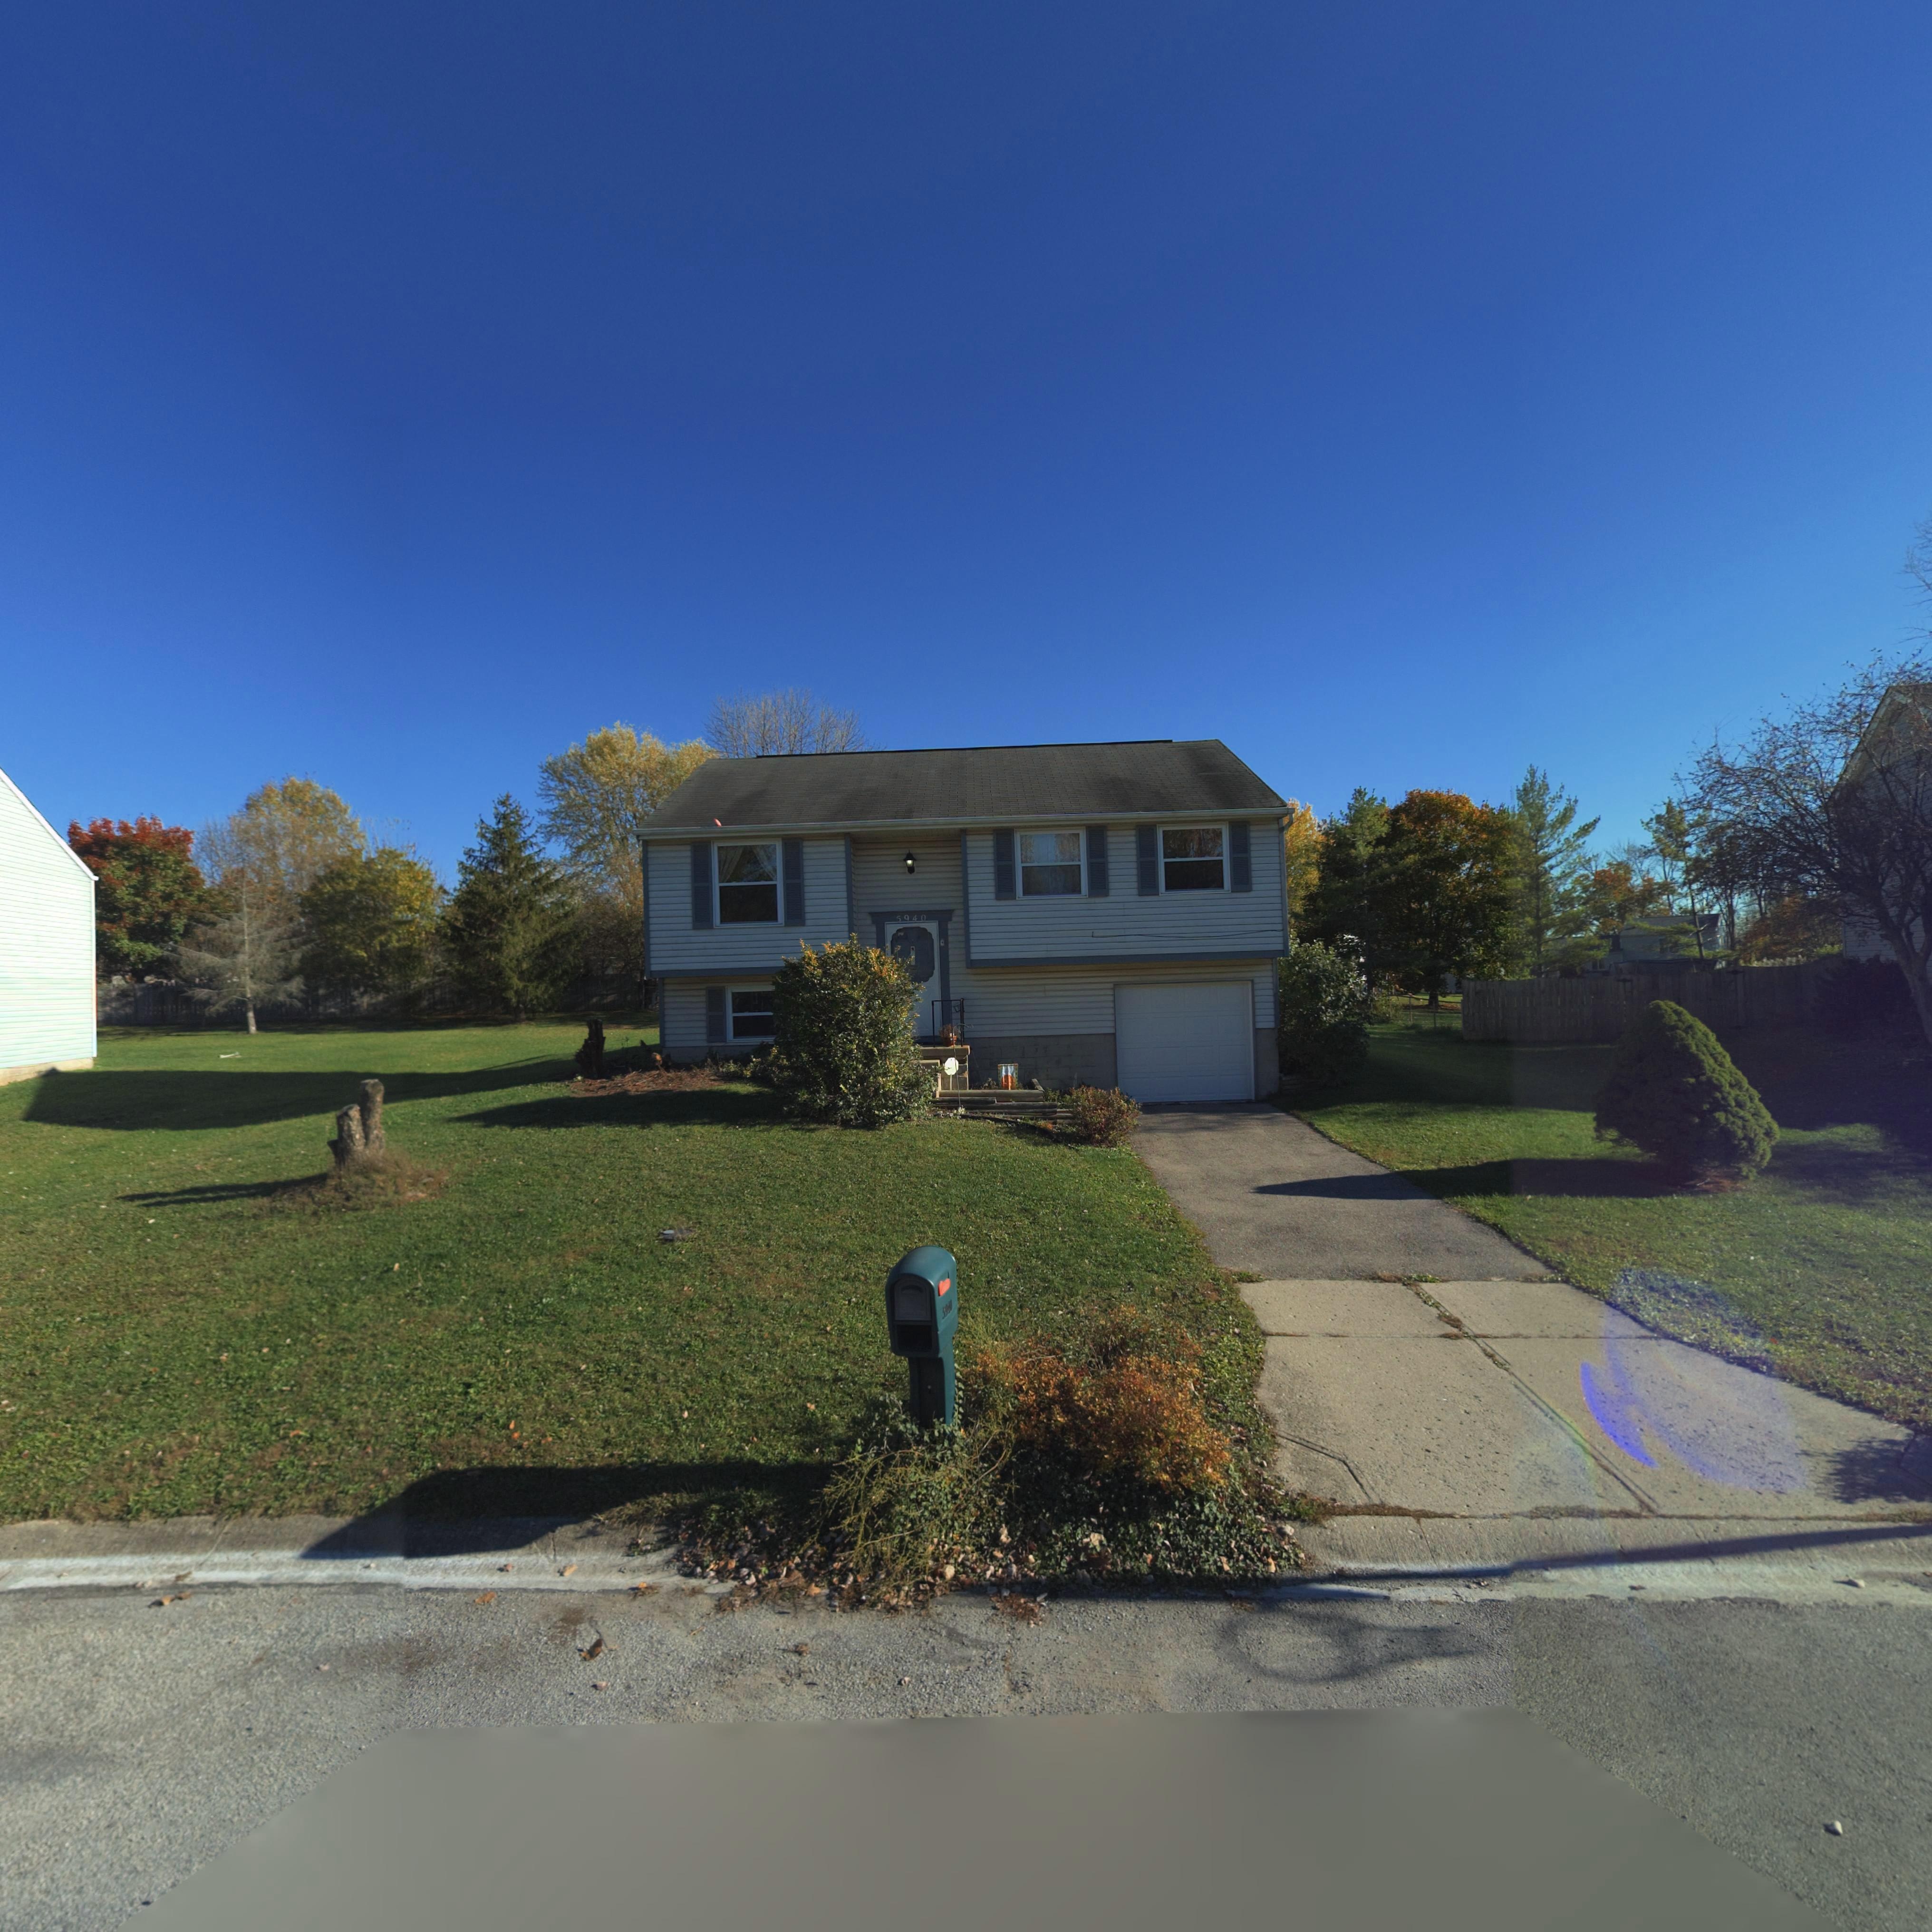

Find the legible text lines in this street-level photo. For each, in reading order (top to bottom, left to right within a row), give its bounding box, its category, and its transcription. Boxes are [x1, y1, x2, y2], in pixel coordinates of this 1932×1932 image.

[895, 913, 927, 924] StreetNumber: 5940
[941, 1298, 953, 1320] StreetNumber: 59**